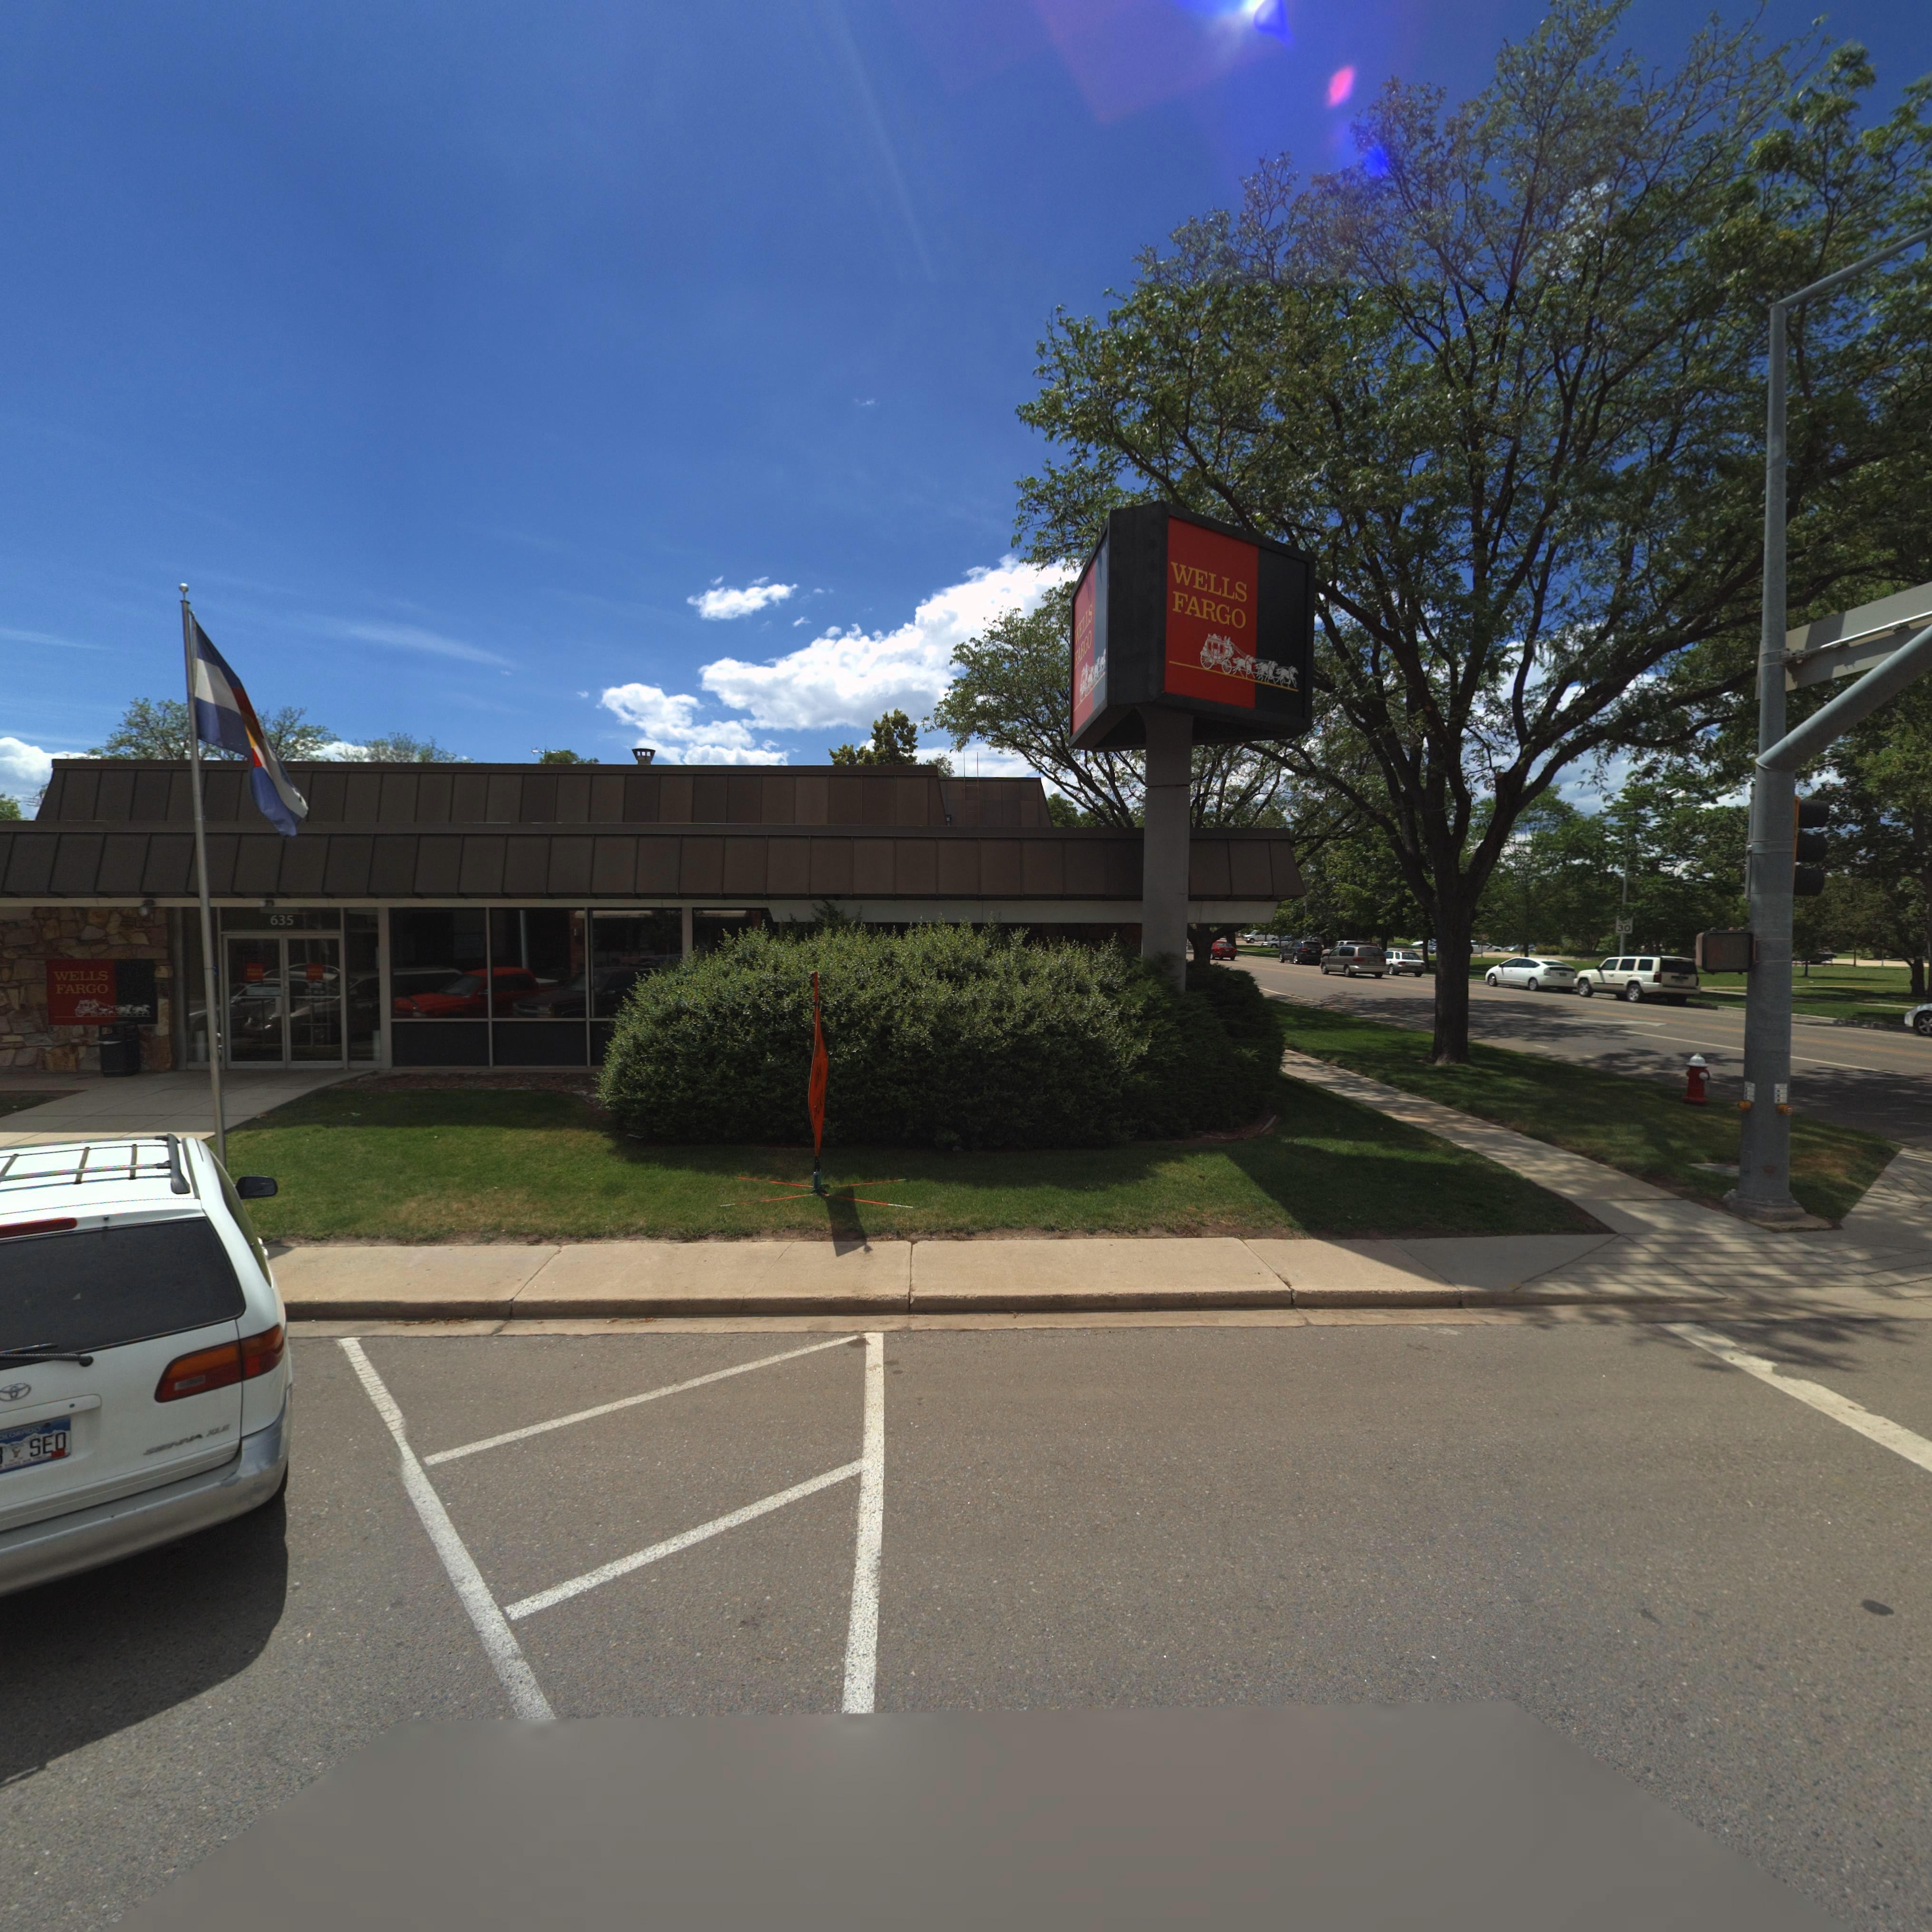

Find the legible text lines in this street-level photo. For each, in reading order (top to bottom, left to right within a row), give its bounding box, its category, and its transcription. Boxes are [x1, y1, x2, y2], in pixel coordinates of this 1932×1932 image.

[1170, 560, 1247, 602] BusinessName: WELLS
[1075, 604, 1092, 644] BusinessName: WELLS
[1172, 590, 1247, 629] BusinessName: FARGO
[1074, 629, 1092, 669] BusinessName: FARGO
[270, 914, 294, 926] StreetNumber: 635
[53, 970, 108, 981] BusinessName: WELLS
[55, 984, 108, 994] BusinessName: FARGO